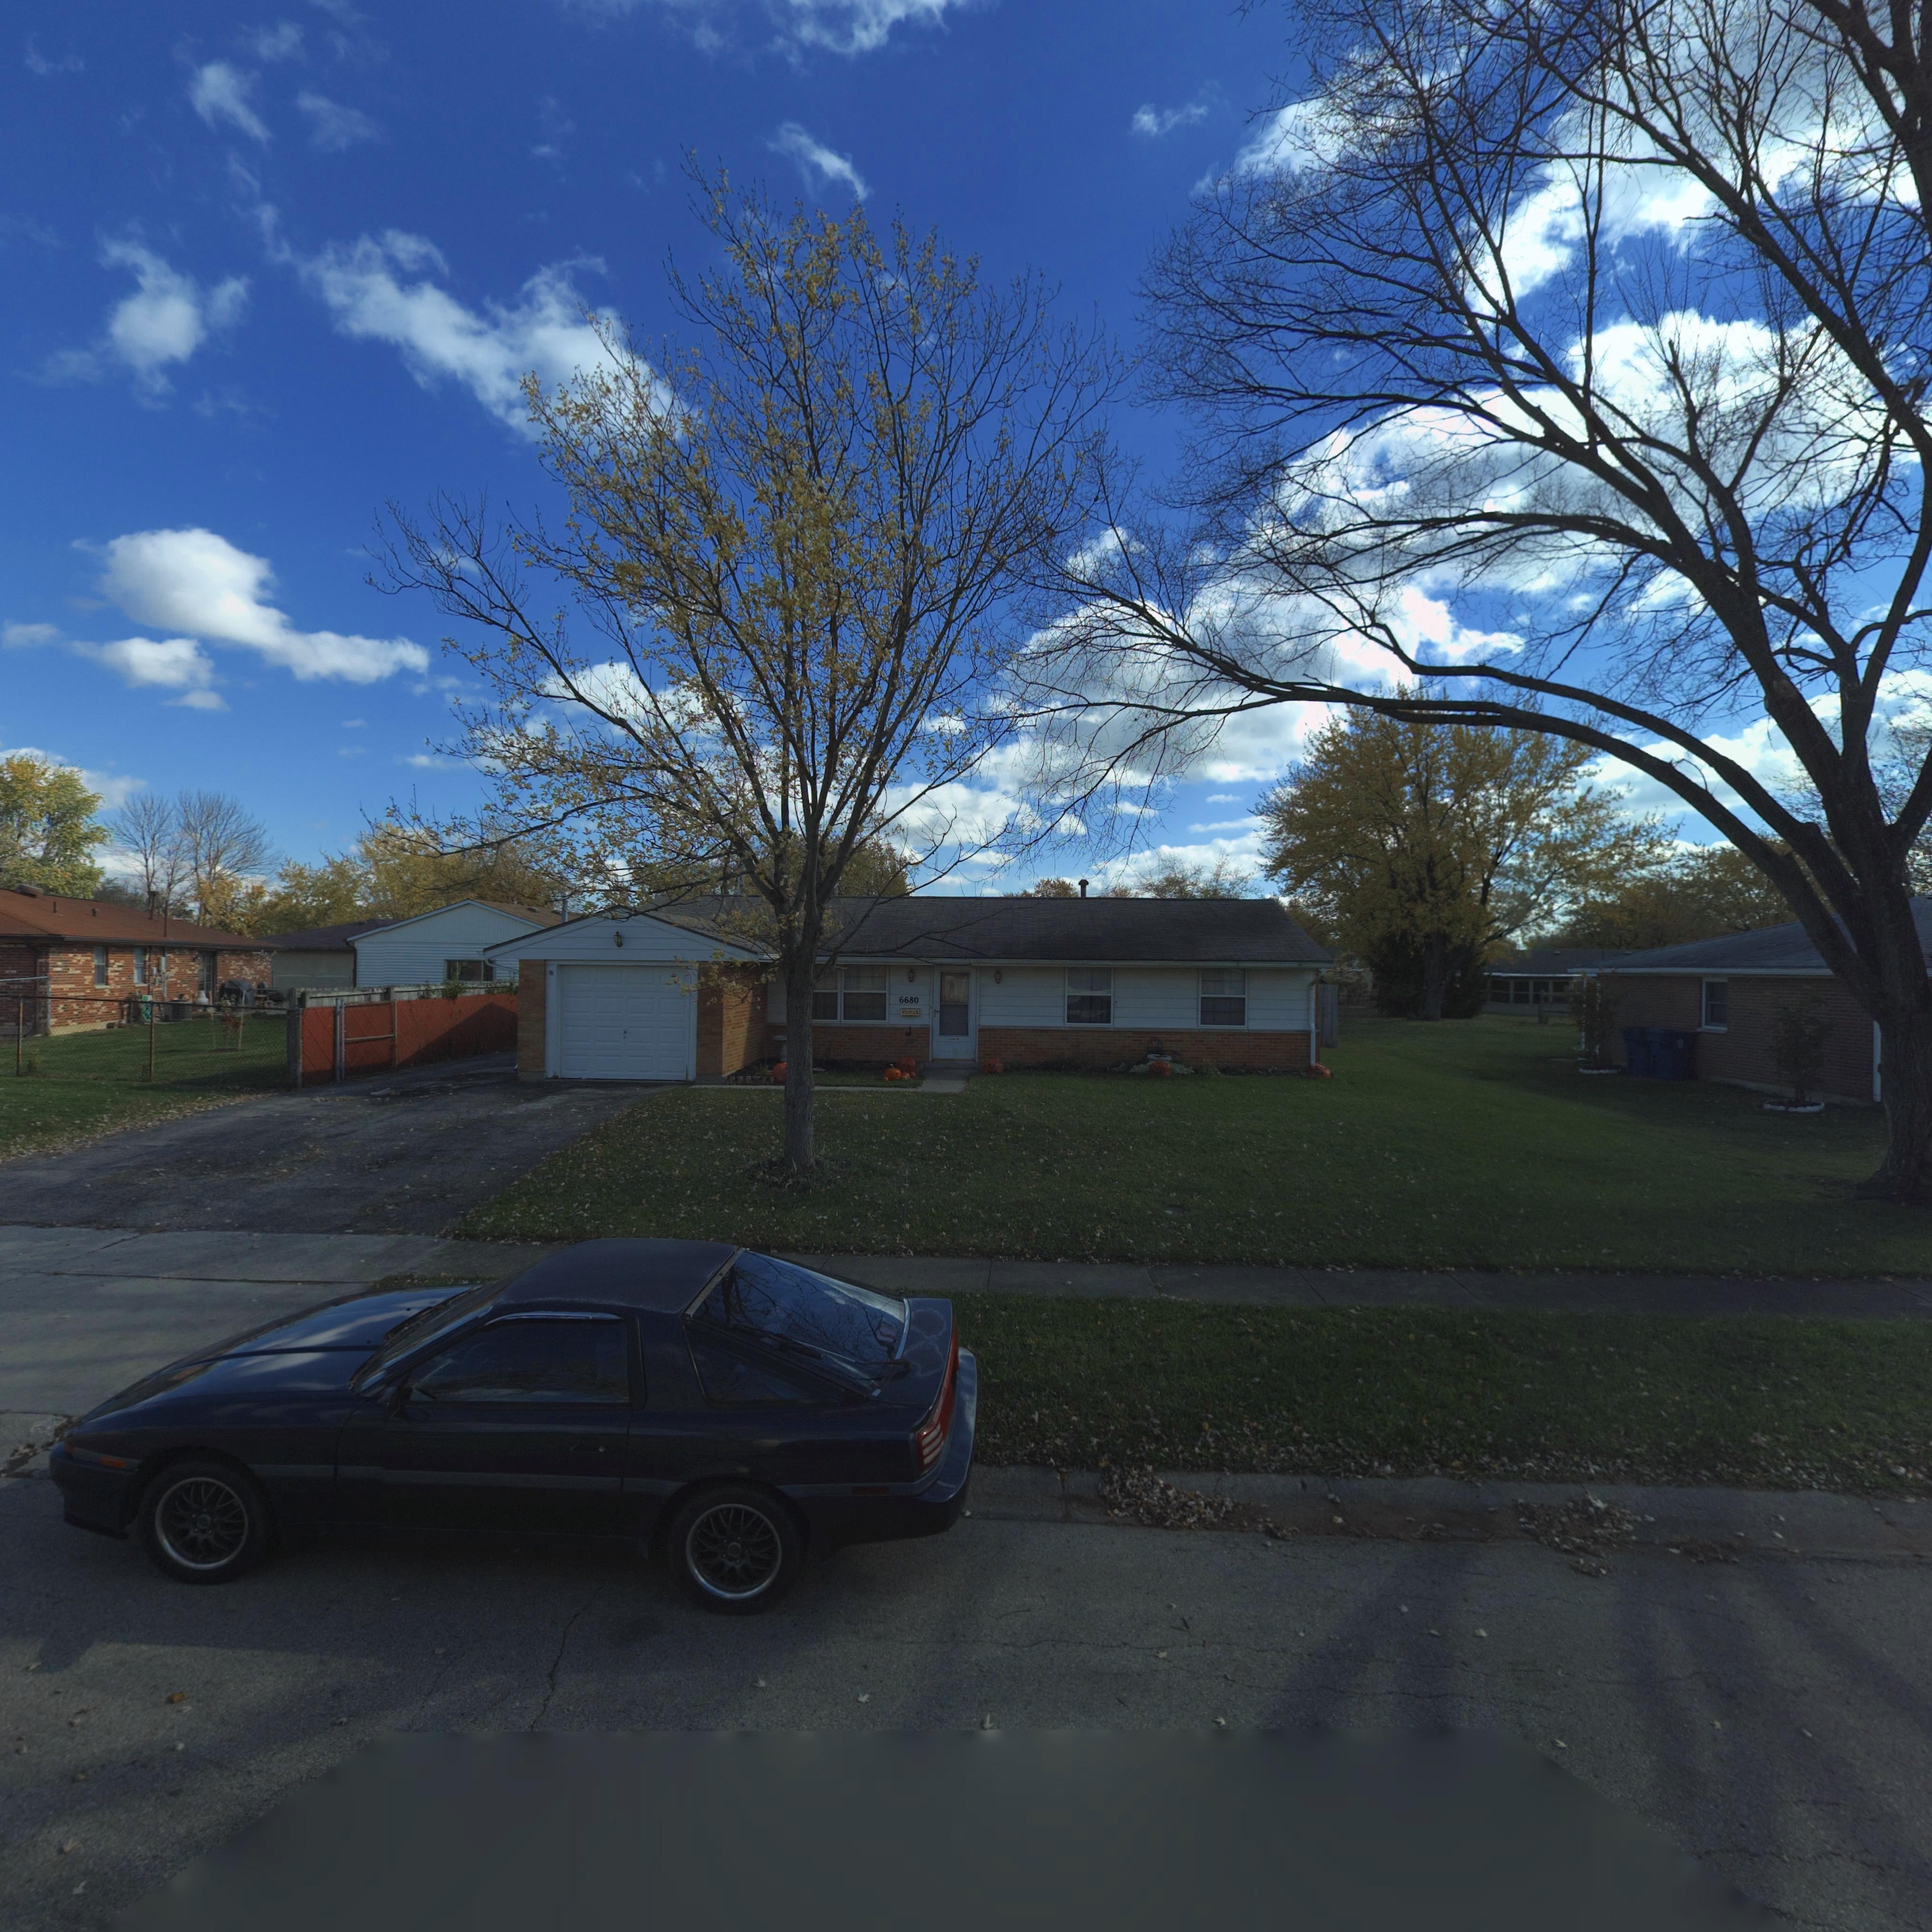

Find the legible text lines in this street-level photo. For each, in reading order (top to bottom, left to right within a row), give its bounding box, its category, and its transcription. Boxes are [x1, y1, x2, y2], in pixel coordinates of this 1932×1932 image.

[899, 996, 919, 1004] StreetNumber: 6680